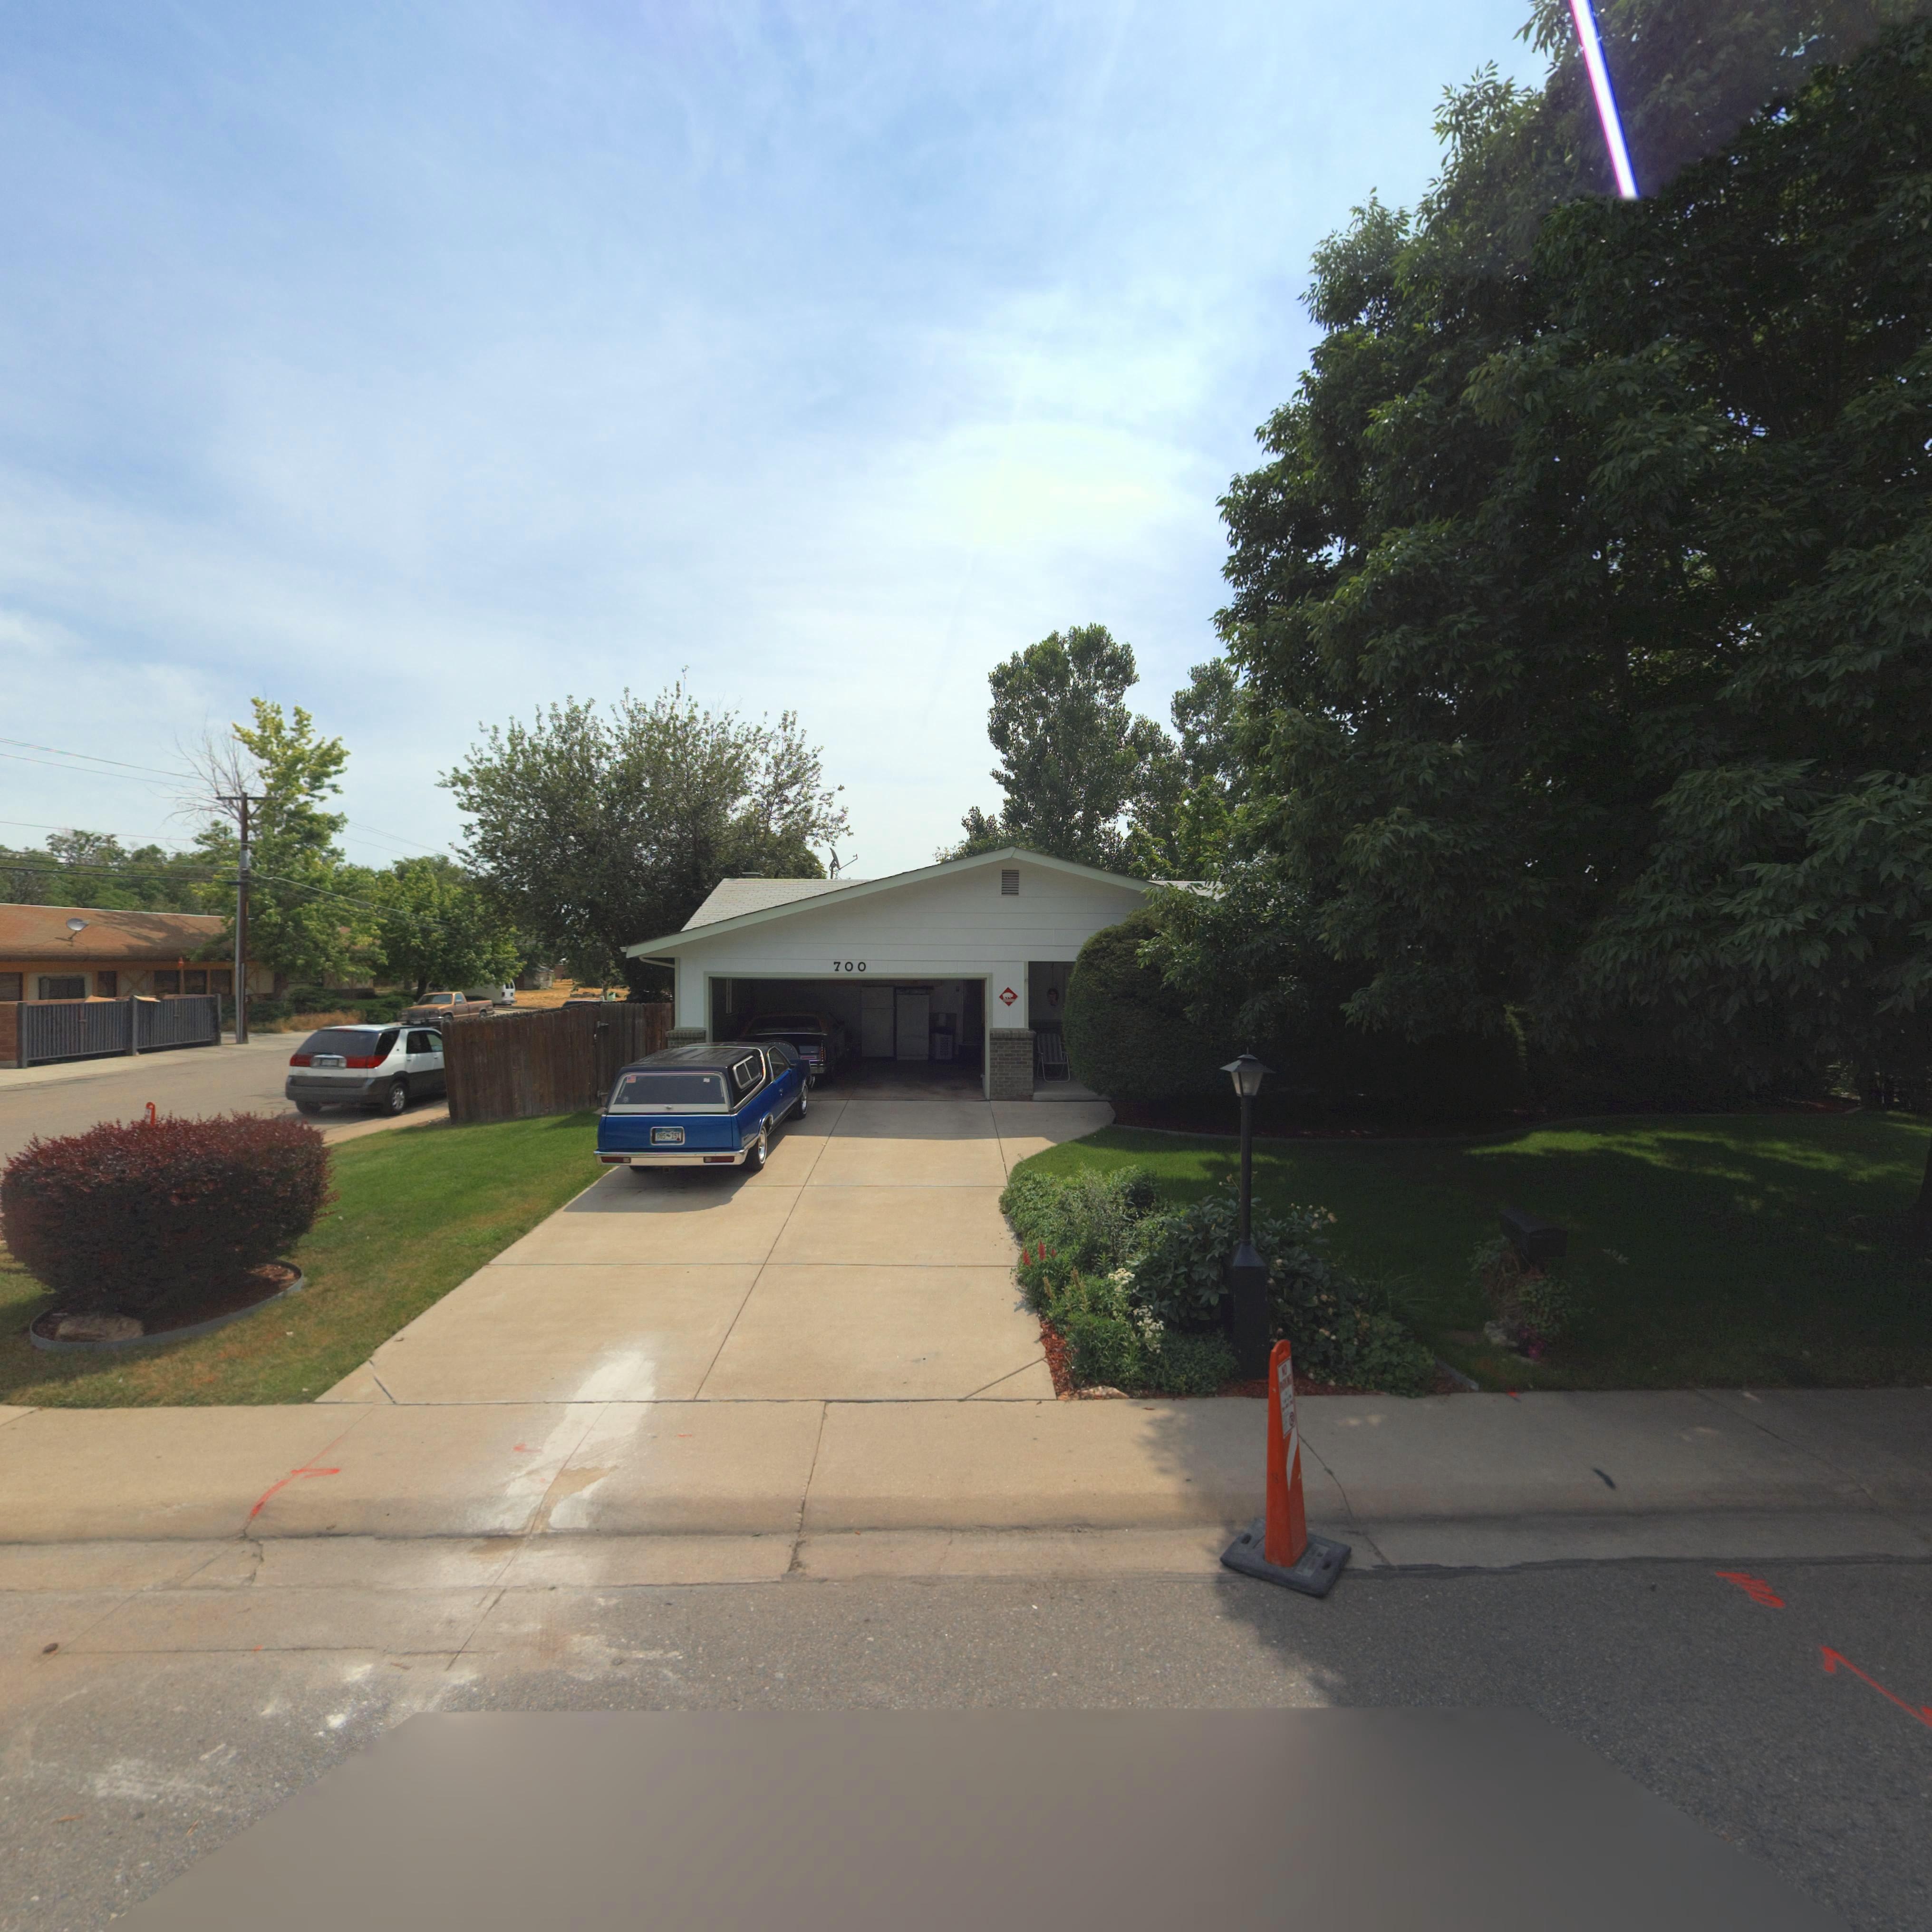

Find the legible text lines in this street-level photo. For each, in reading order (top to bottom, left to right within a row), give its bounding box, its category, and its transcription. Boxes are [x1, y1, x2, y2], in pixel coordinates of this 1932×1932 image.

[833, 961, 866, 972] StreetNumber: 700